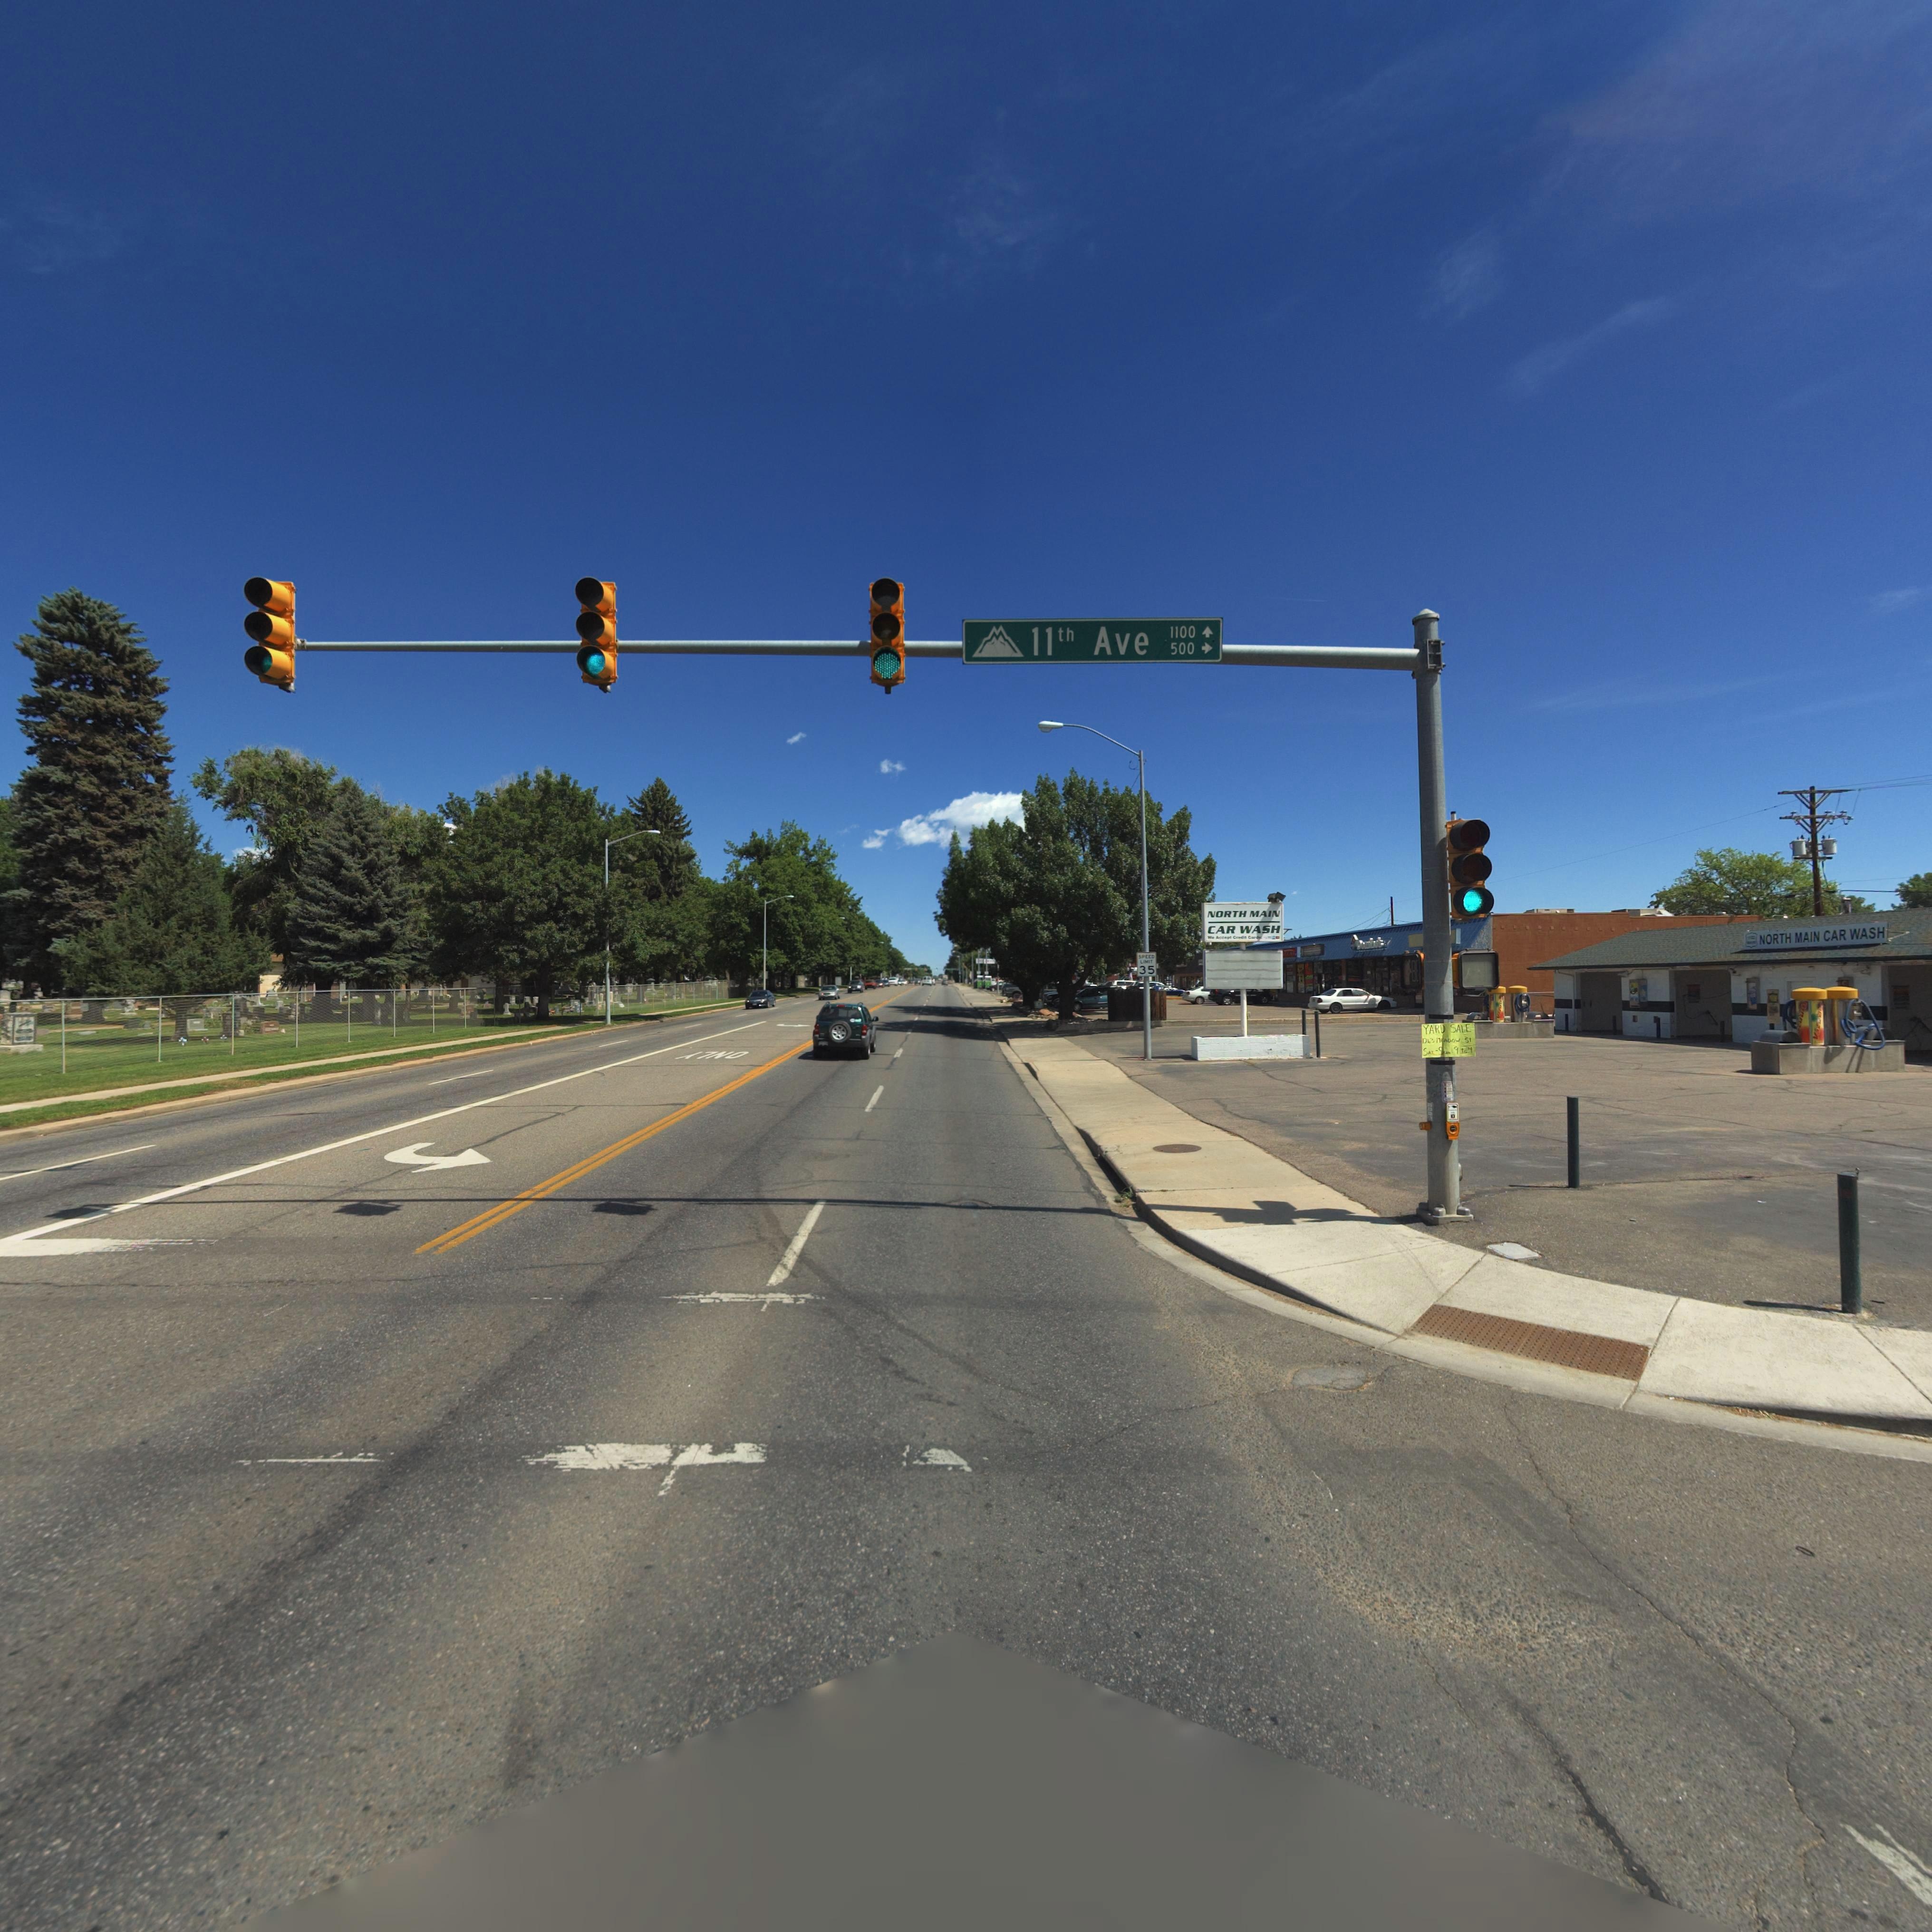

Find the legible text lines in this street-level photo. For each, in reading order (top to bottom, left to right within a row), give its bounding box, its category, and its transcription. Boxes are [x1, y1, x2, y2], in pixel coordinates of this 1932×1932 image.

[1169, 626, 1195, 639] StreetNumberRange: 1100
[1031, 625, 1150, 656] StreetName: 11th Ave
[1170, 641, 1213, 655] StreetNumberRange: 500->
[1207, 910, 1280, 918] BusinessName: NORTH MAIN
[1207, 926, 1280, 934] BusinessName: CAR WASH
[1759, 926, 1885, 946] BusinessName: NORTH MAIN CAR WASH
[1356, 936, 1385, 949] BusinessName: Do*****